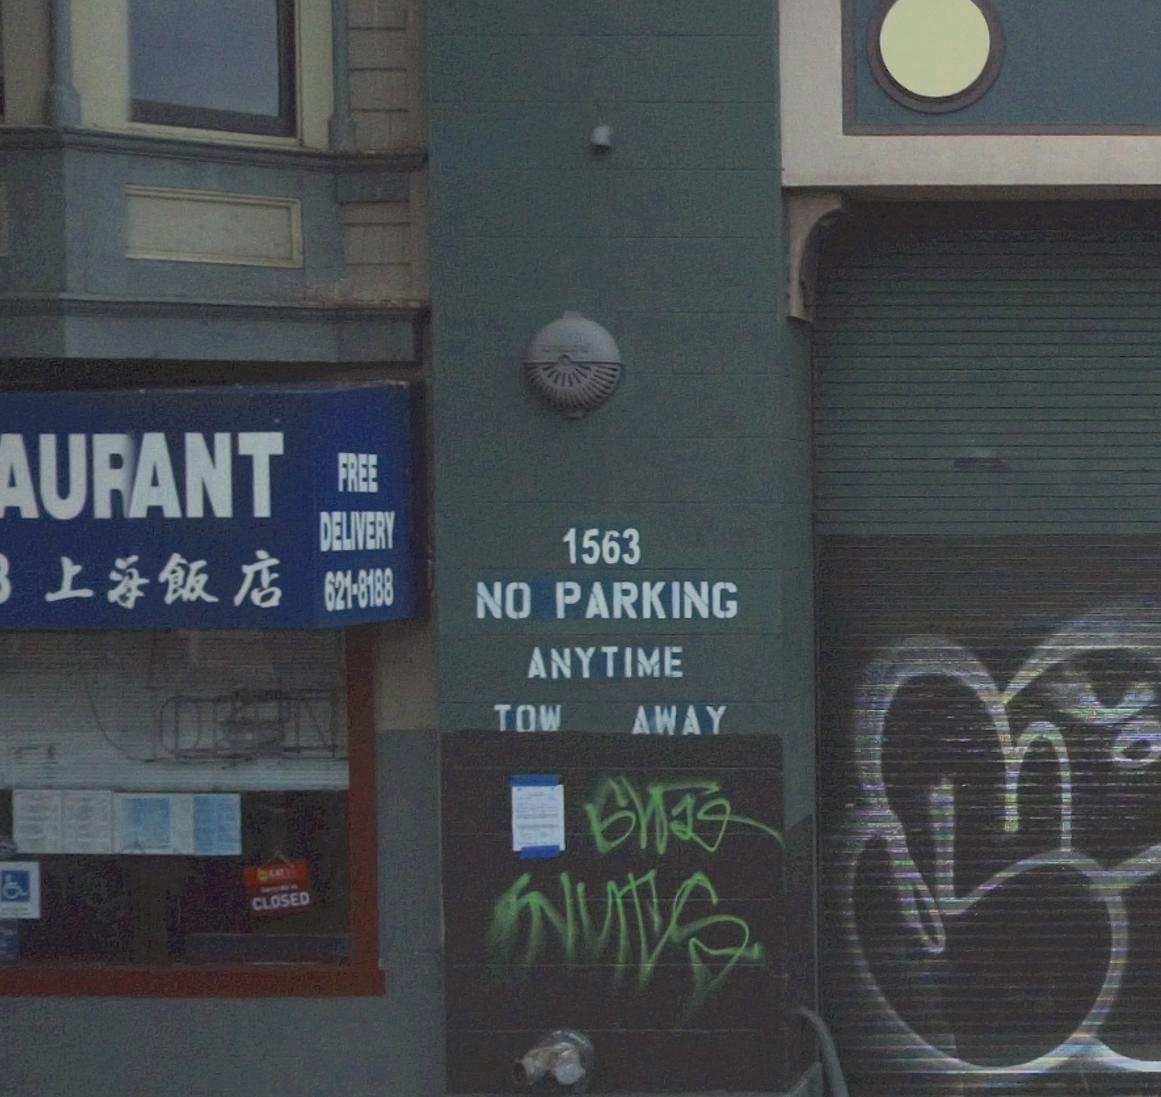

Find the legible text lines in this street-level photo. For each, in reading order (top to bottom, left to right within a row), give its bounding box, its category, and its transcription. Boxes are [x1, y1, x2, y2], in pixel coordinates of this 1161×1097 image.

[30, 424, 290, 528] BusinessName: U*ANT
[334, 449, 381, 496] None: FREE
[316, 507, 400, 556] None: DELIVERY
[560, 526, 643, 567] StreetNumber: 1563
[321, 563, 398, 616] None: 621-8188
[474, 579, 740, 621] None: NO PARKING
[525, 644, 686, 681] None: ANYTIME
[491, 702, 729, 739] None: TOW AWAY
[248, 887, 313, 915] None: CLOSED